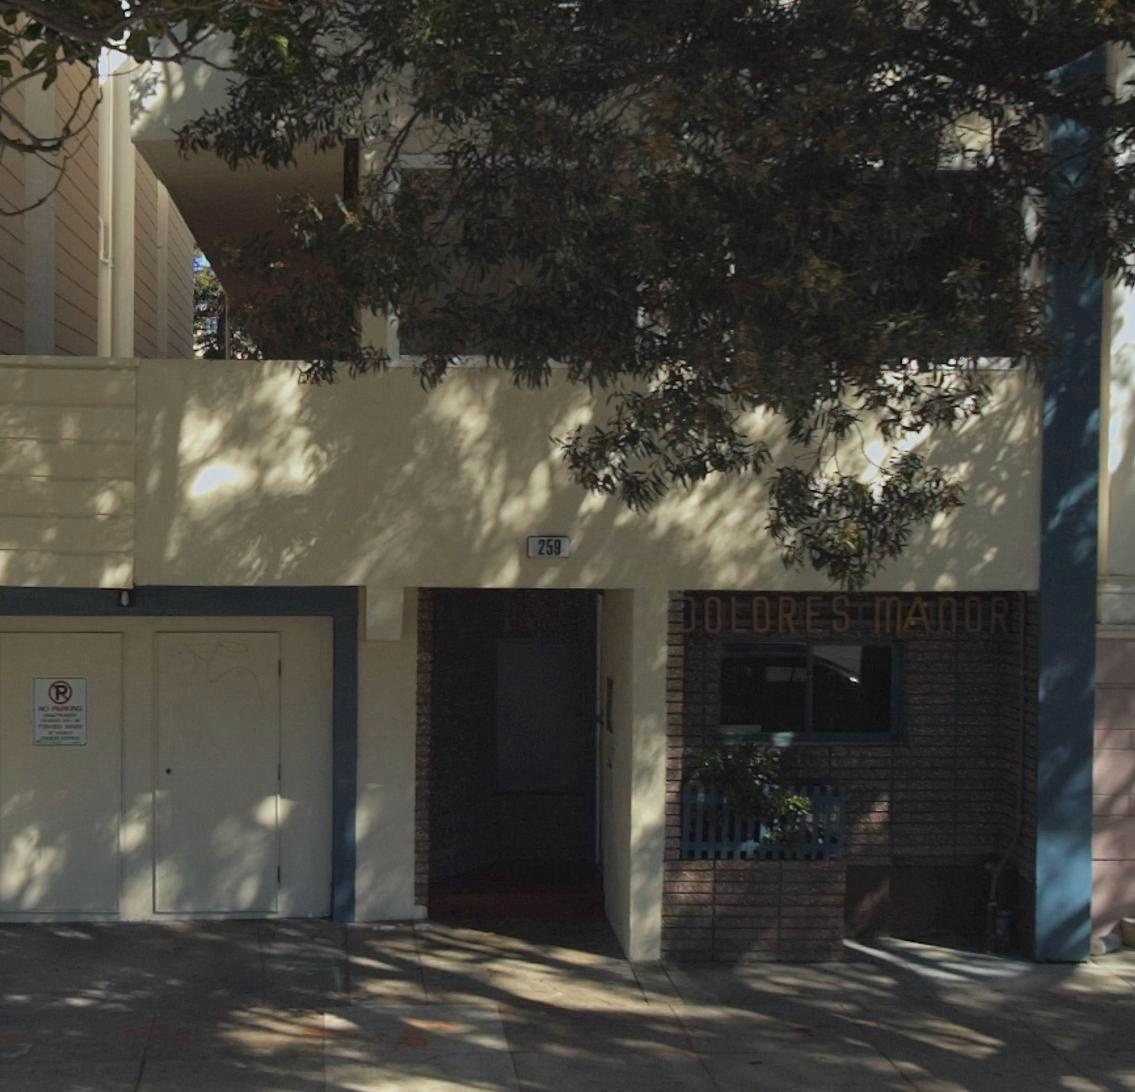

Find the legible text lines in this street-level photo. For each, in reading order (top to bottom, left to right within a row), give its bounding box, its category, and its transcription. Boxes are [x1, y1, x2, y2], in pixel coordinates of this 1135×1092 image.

[537, 538, 563, 557] StreetNumber: 259
[677, 594, 1014, 637] BusinessName: *OLORES MANOR